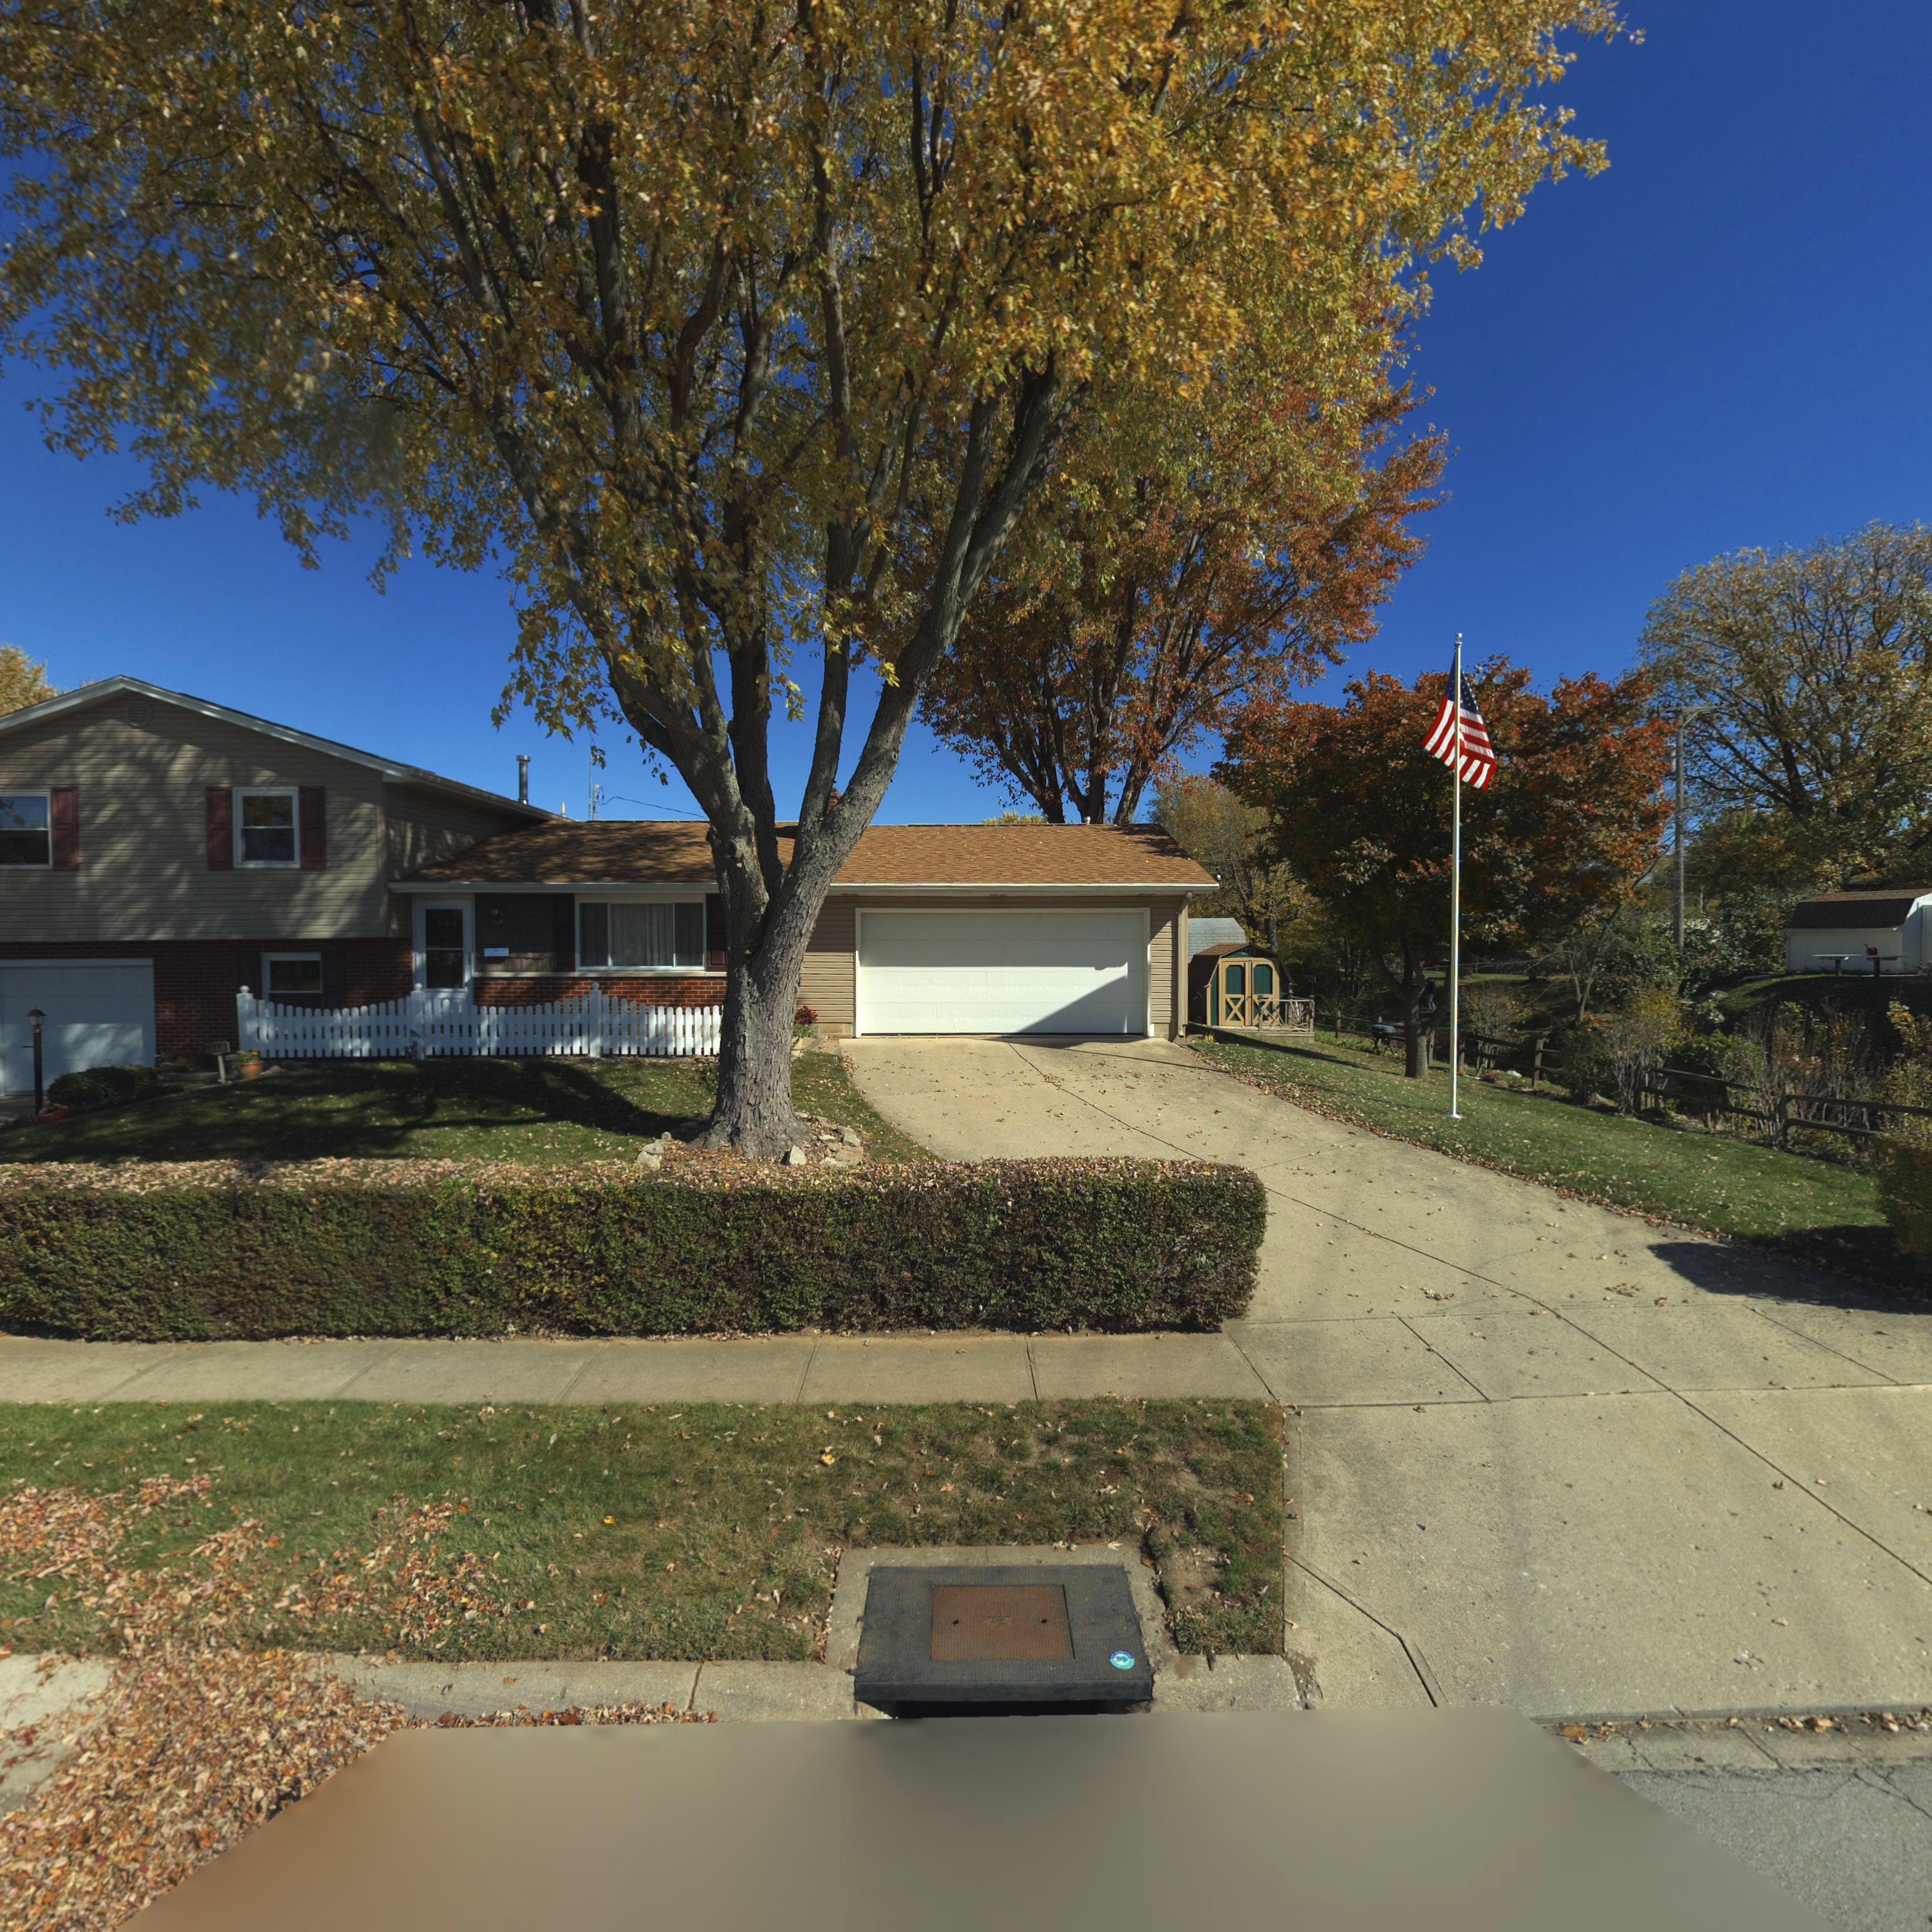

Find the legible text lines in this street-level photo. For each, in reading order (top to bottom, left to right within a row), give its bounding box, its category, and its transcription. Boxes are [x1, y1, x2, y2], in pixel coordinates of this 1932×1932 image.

[208, 1043, 226, 1053] StreetNumber: 716